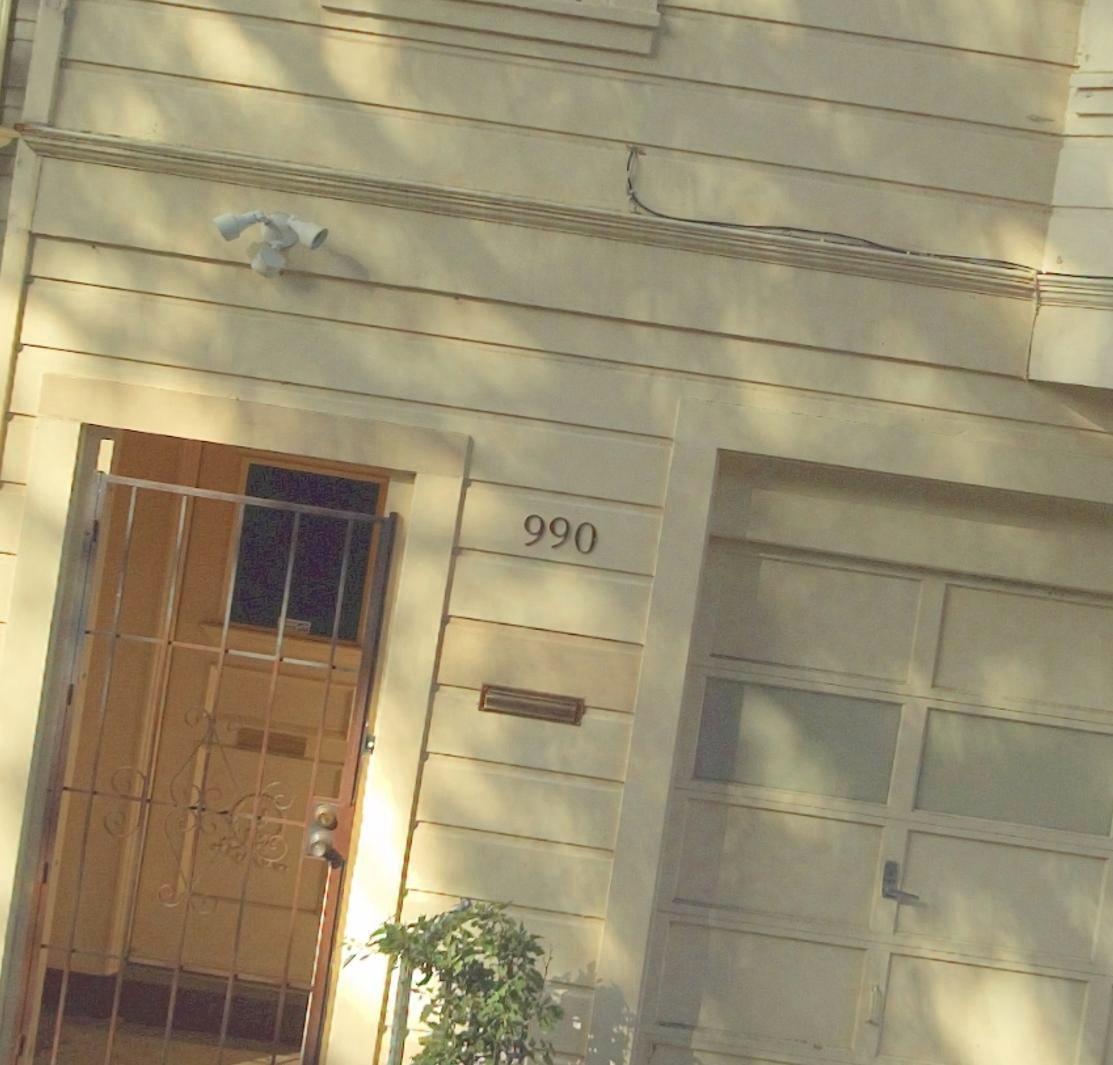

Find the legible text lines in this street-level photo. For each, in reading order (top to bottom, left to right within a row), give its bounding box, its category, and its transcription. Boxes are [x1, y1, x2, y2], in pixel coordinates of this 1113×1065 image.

[519, 511, 599, 557] StreetNumber: 990